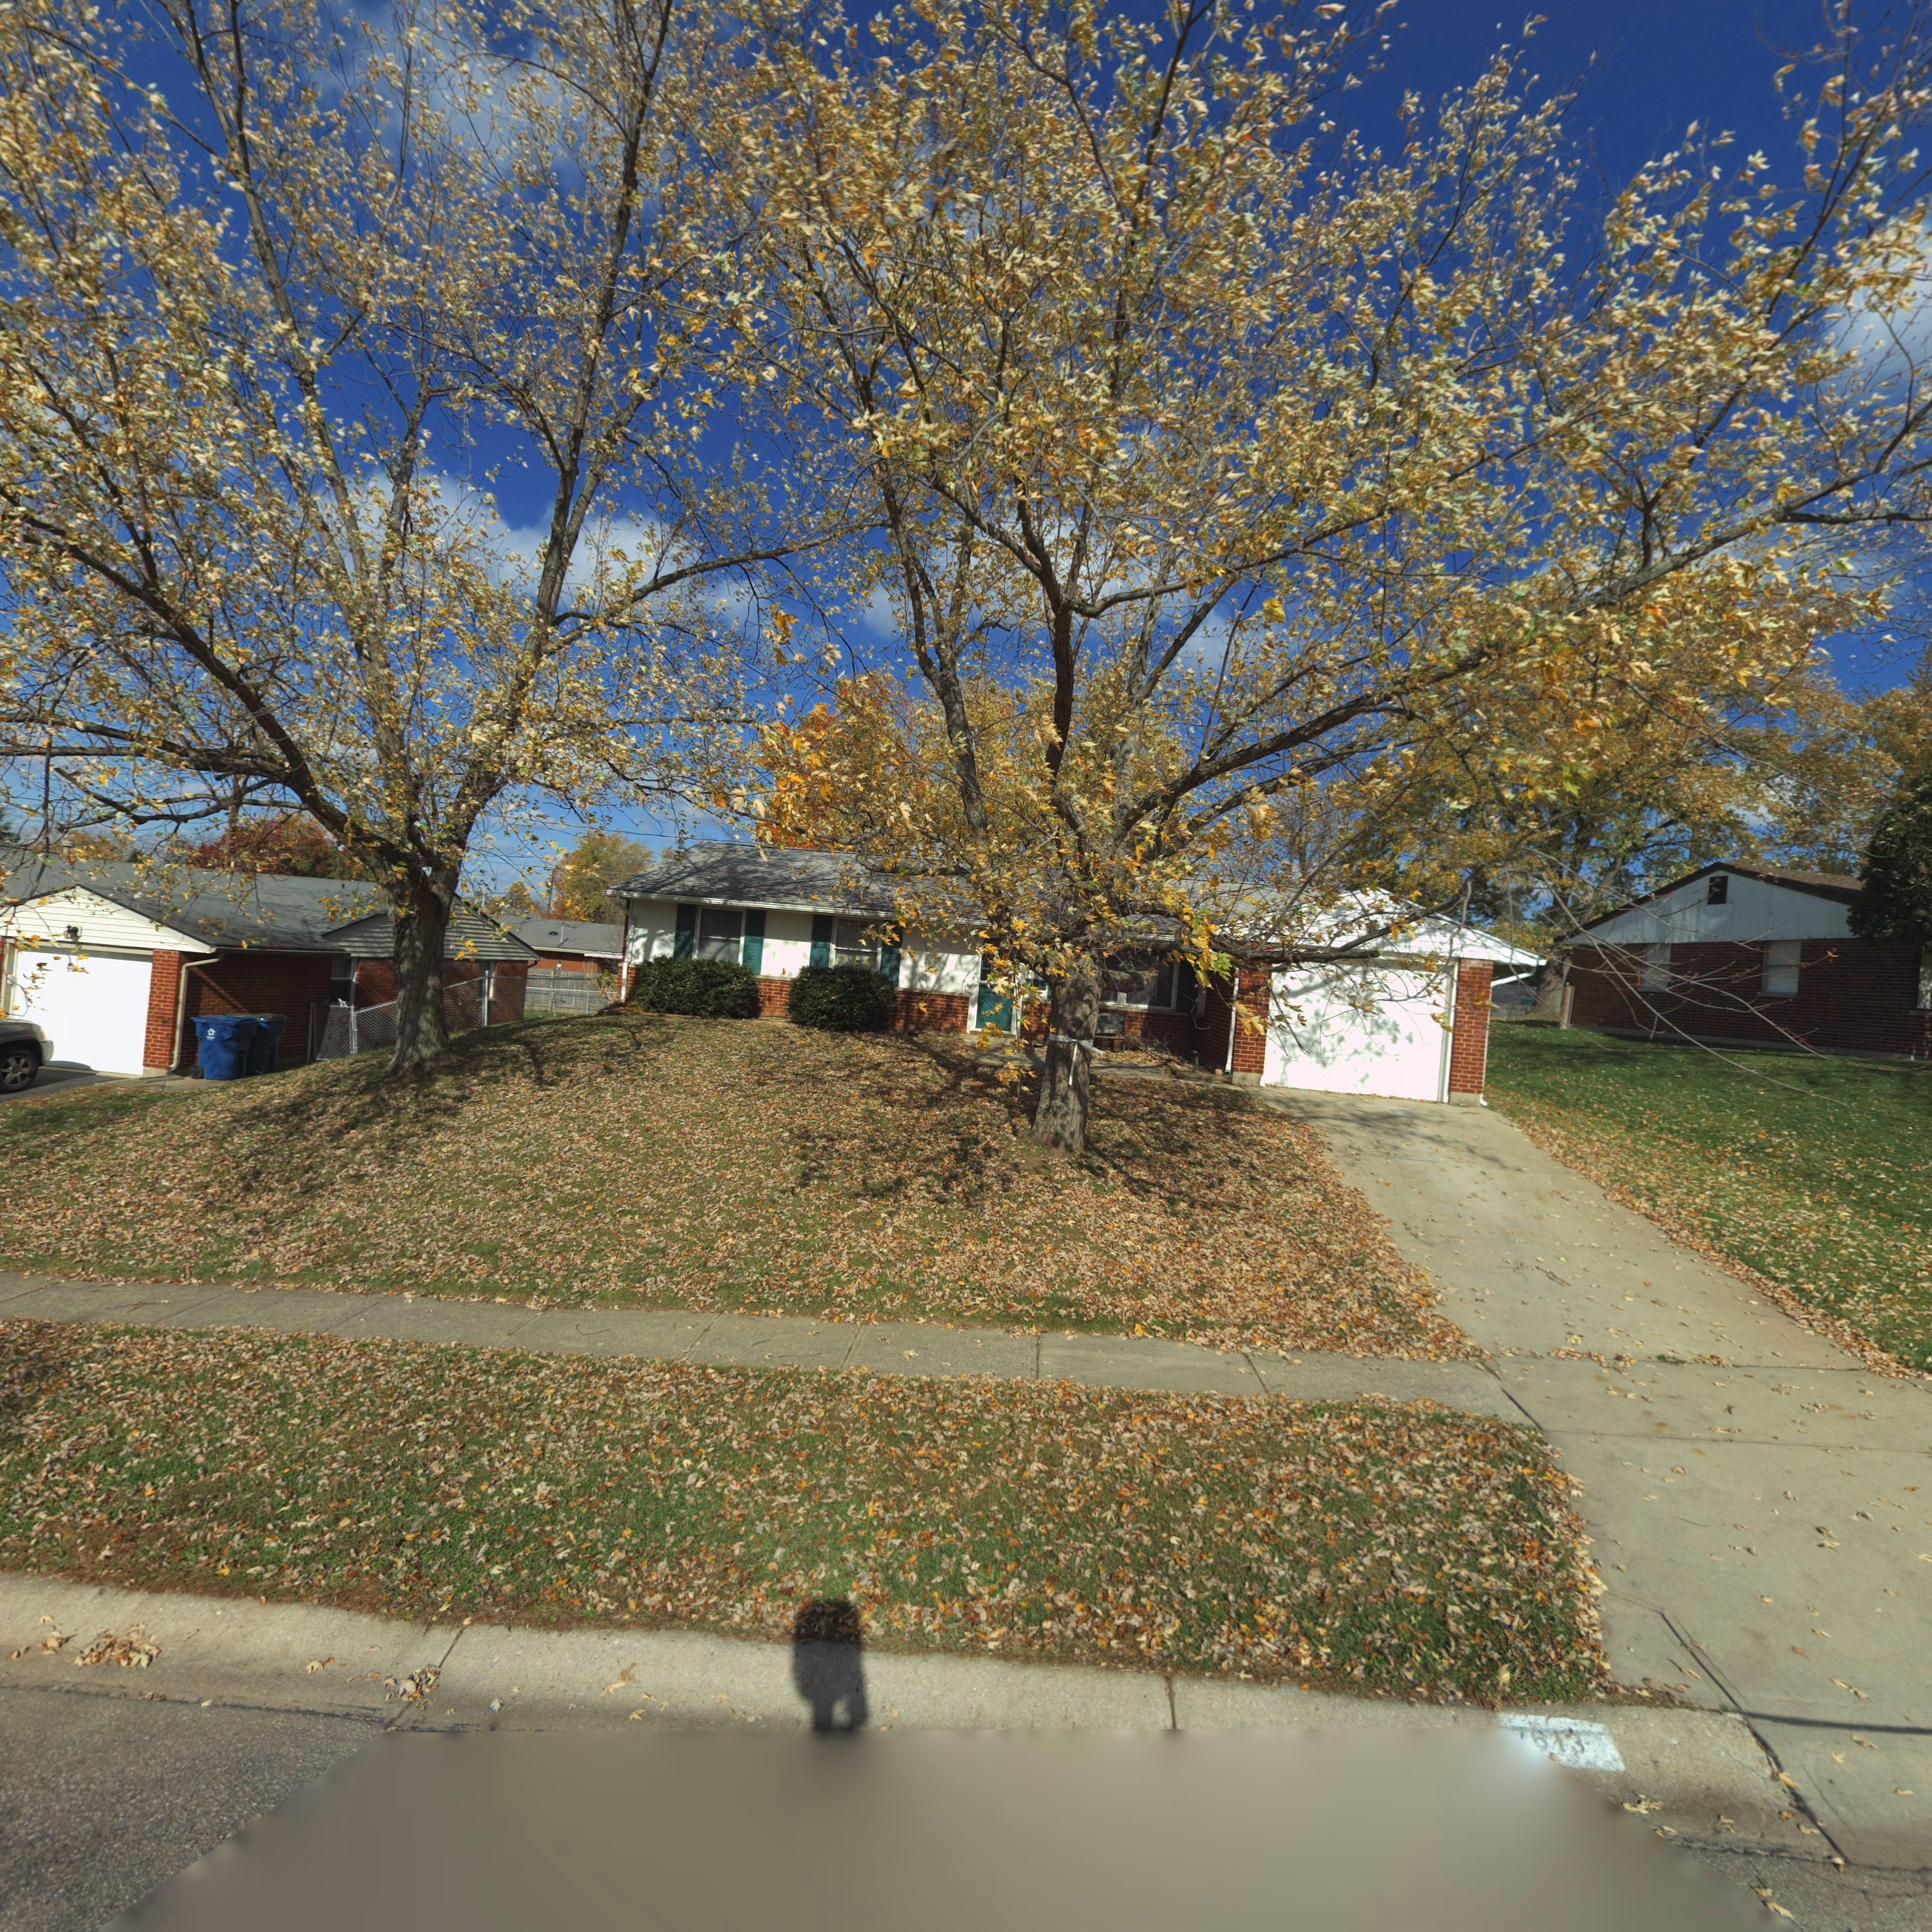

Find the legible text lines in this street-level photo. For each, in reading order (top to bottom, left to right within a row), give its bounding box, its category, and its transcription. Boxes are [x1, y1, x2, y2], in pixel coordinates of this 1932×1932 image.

[1528, 1726, 1586, 1756] StreetNumber: 613